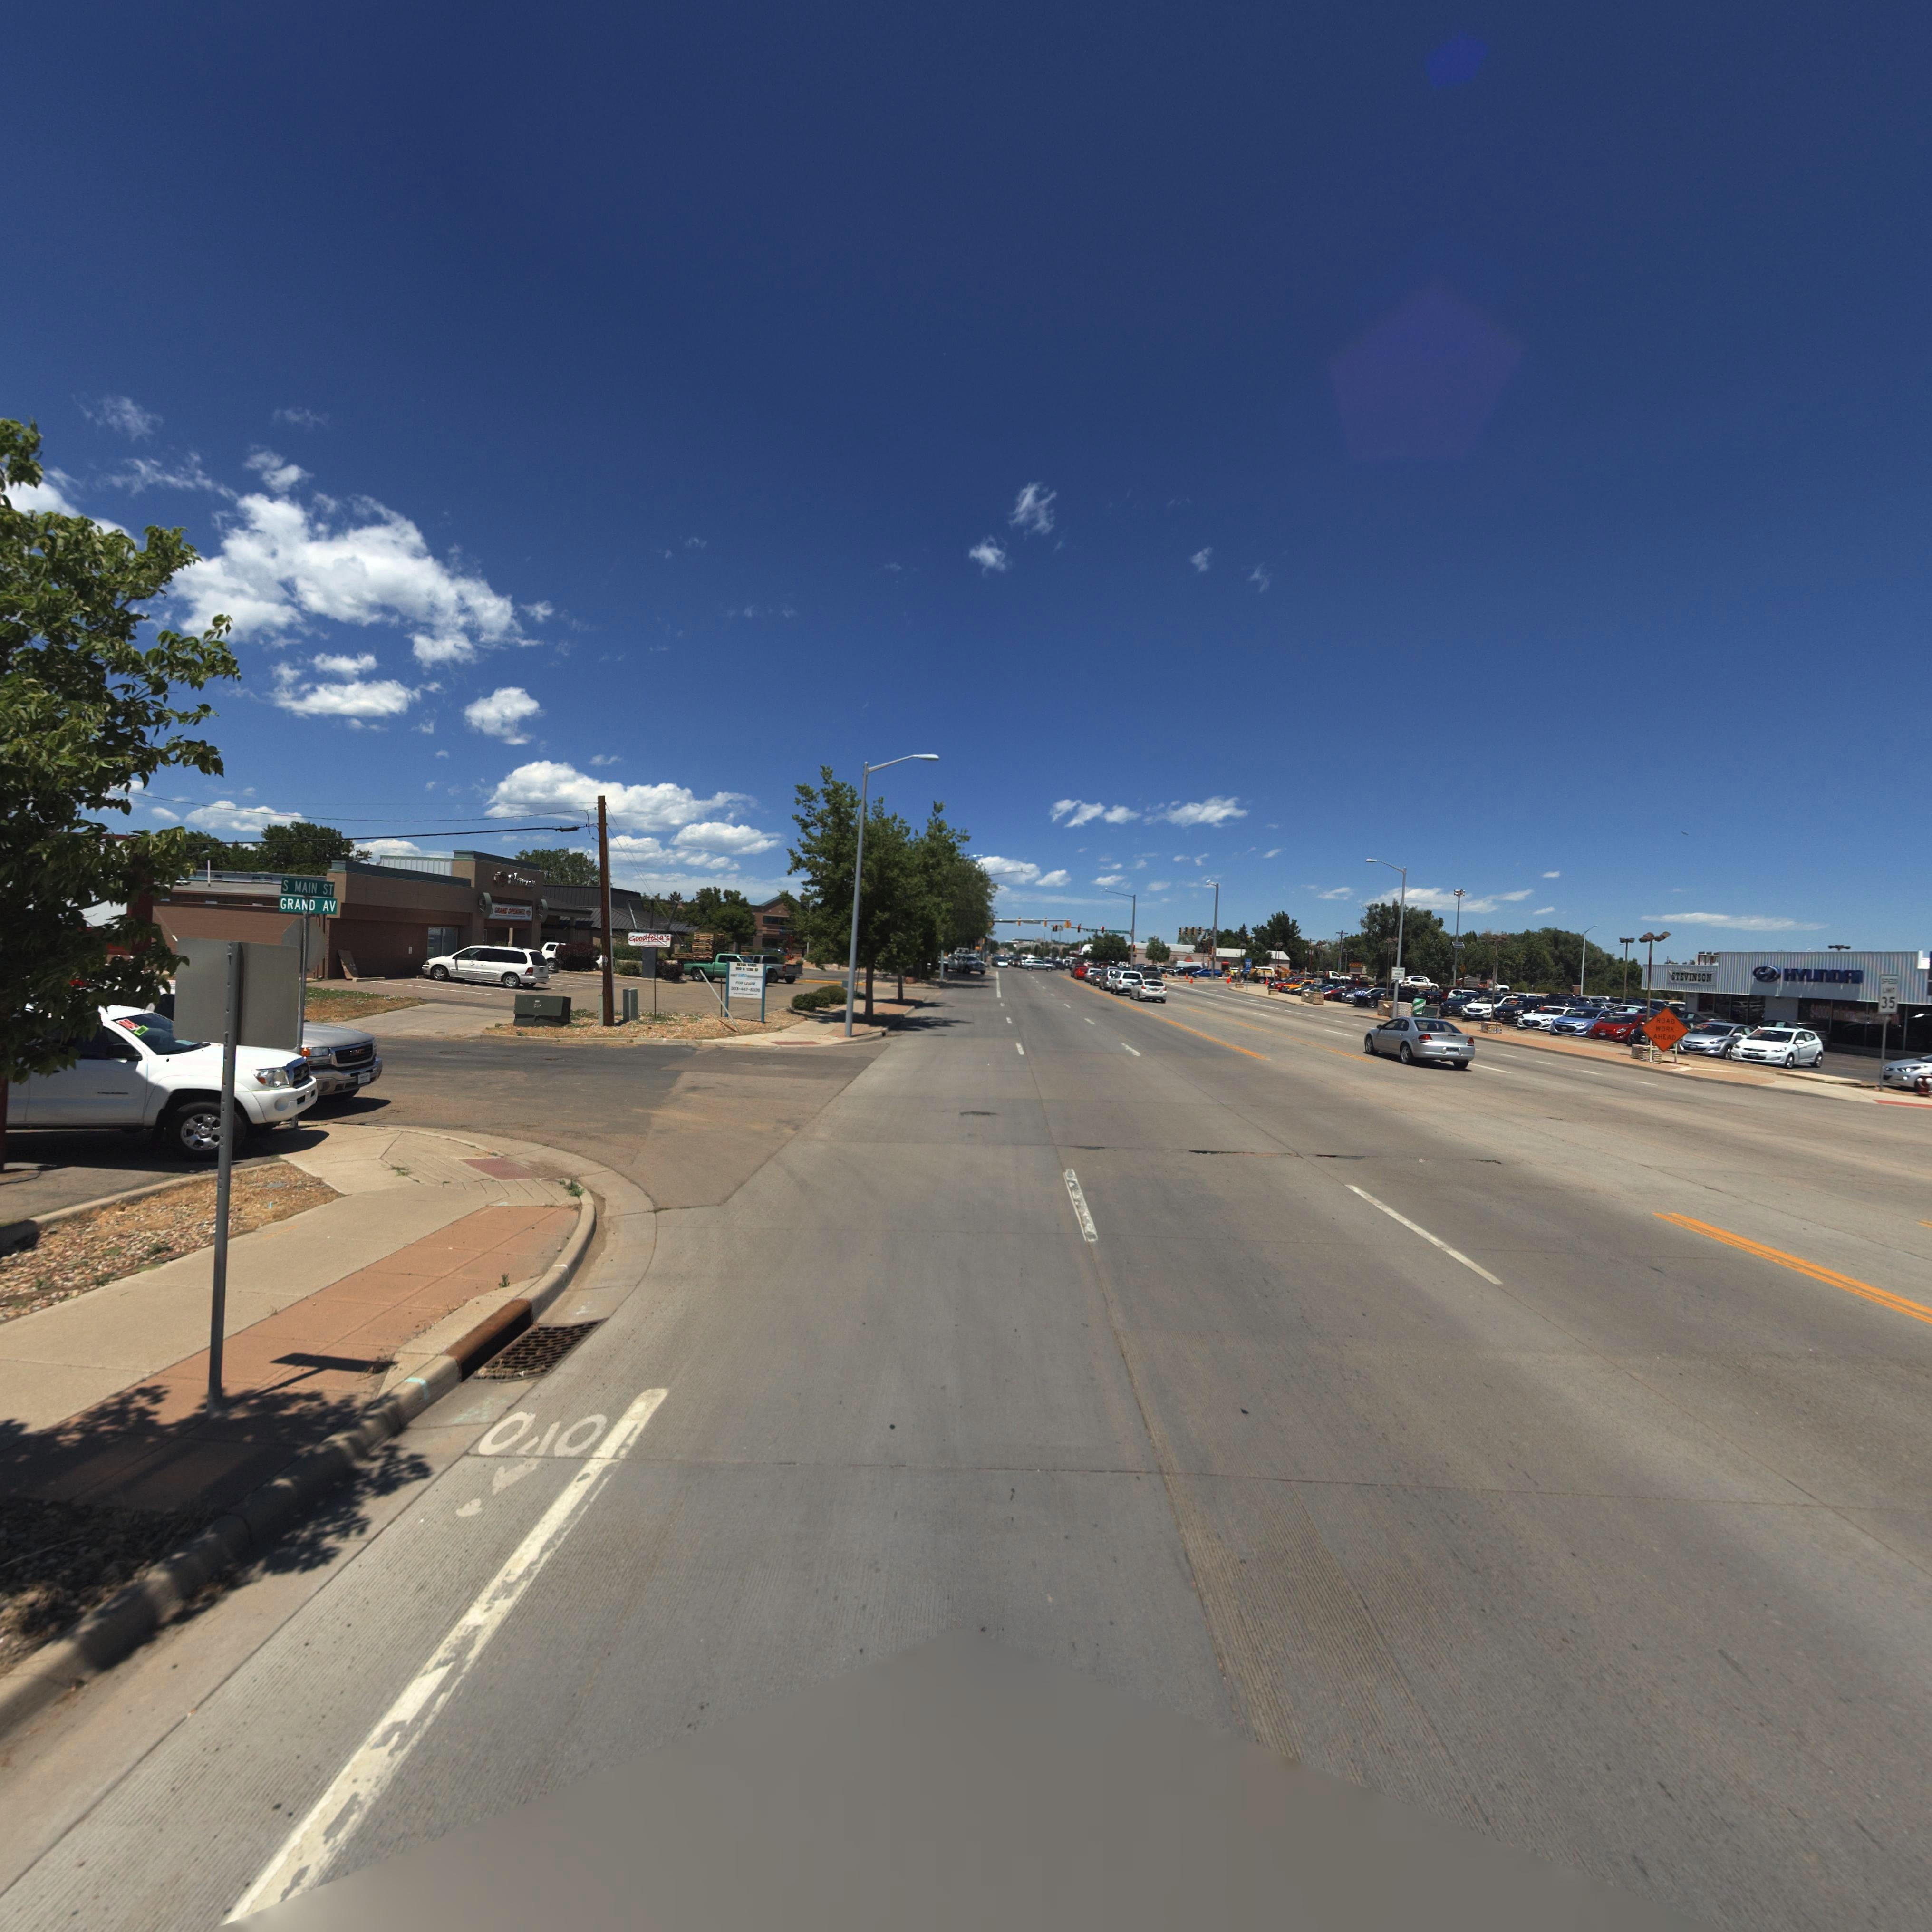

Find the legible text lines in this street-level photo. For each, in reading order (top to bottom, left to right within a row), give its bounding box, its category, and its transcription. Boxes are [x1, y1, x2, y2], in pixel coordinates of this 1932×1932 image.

[281, 879, 334, 896] StreetName: S MAIN ST
[280, 897, 337, 913] StreetName: GRAND AV
[628, 932, 670, 943] BusinessName: Goodfel*a*s
[1671, 971, 1712, 982] BusinessName: STEVINSON
[1783, 968, 1864, 985] BusinessName: HYUnDAI